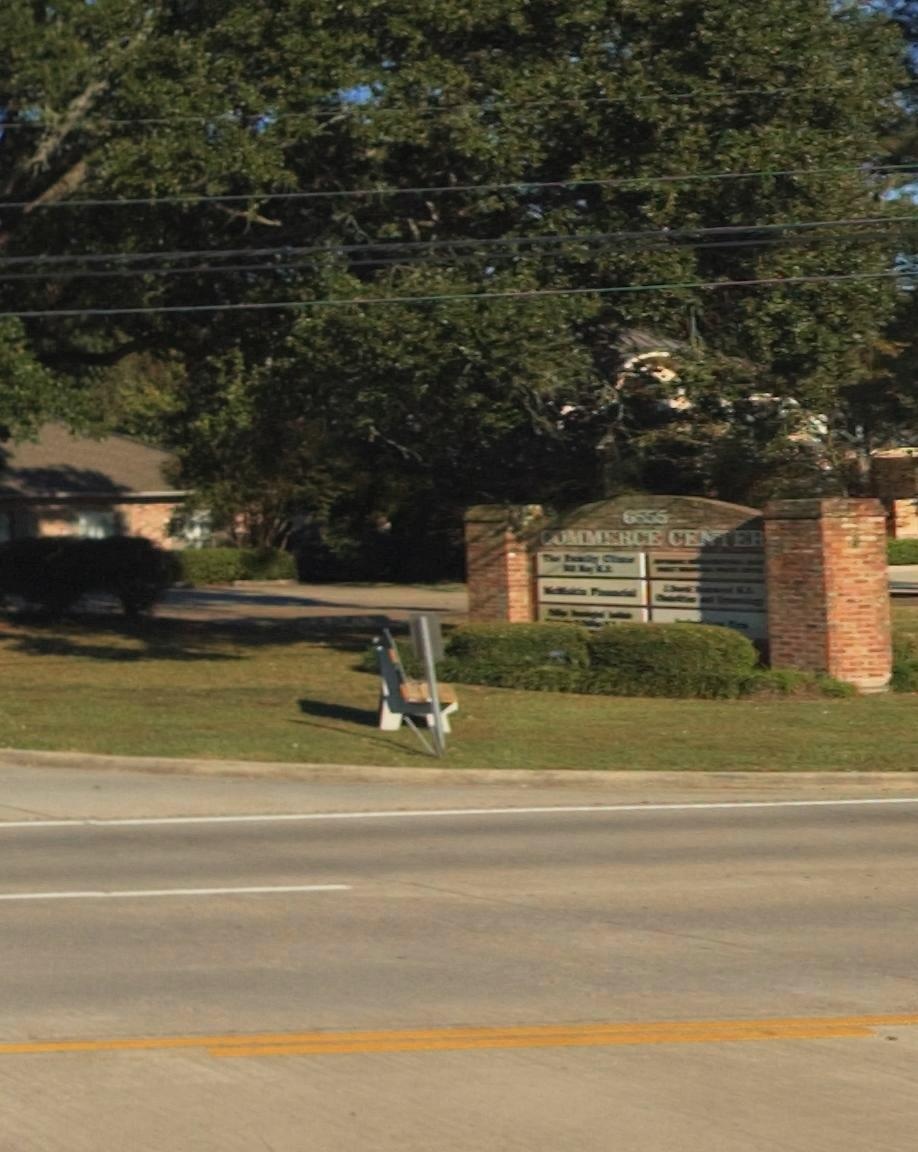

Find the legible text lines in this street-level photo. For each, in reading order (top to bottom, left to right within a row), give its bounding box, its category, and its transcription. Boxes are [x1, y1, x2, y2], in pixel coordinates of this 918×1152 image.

[620, 505, 673, 526] StreetNumber: 6555
[537, 526, 768, 549] BusinessName: COMMERCE CENTER